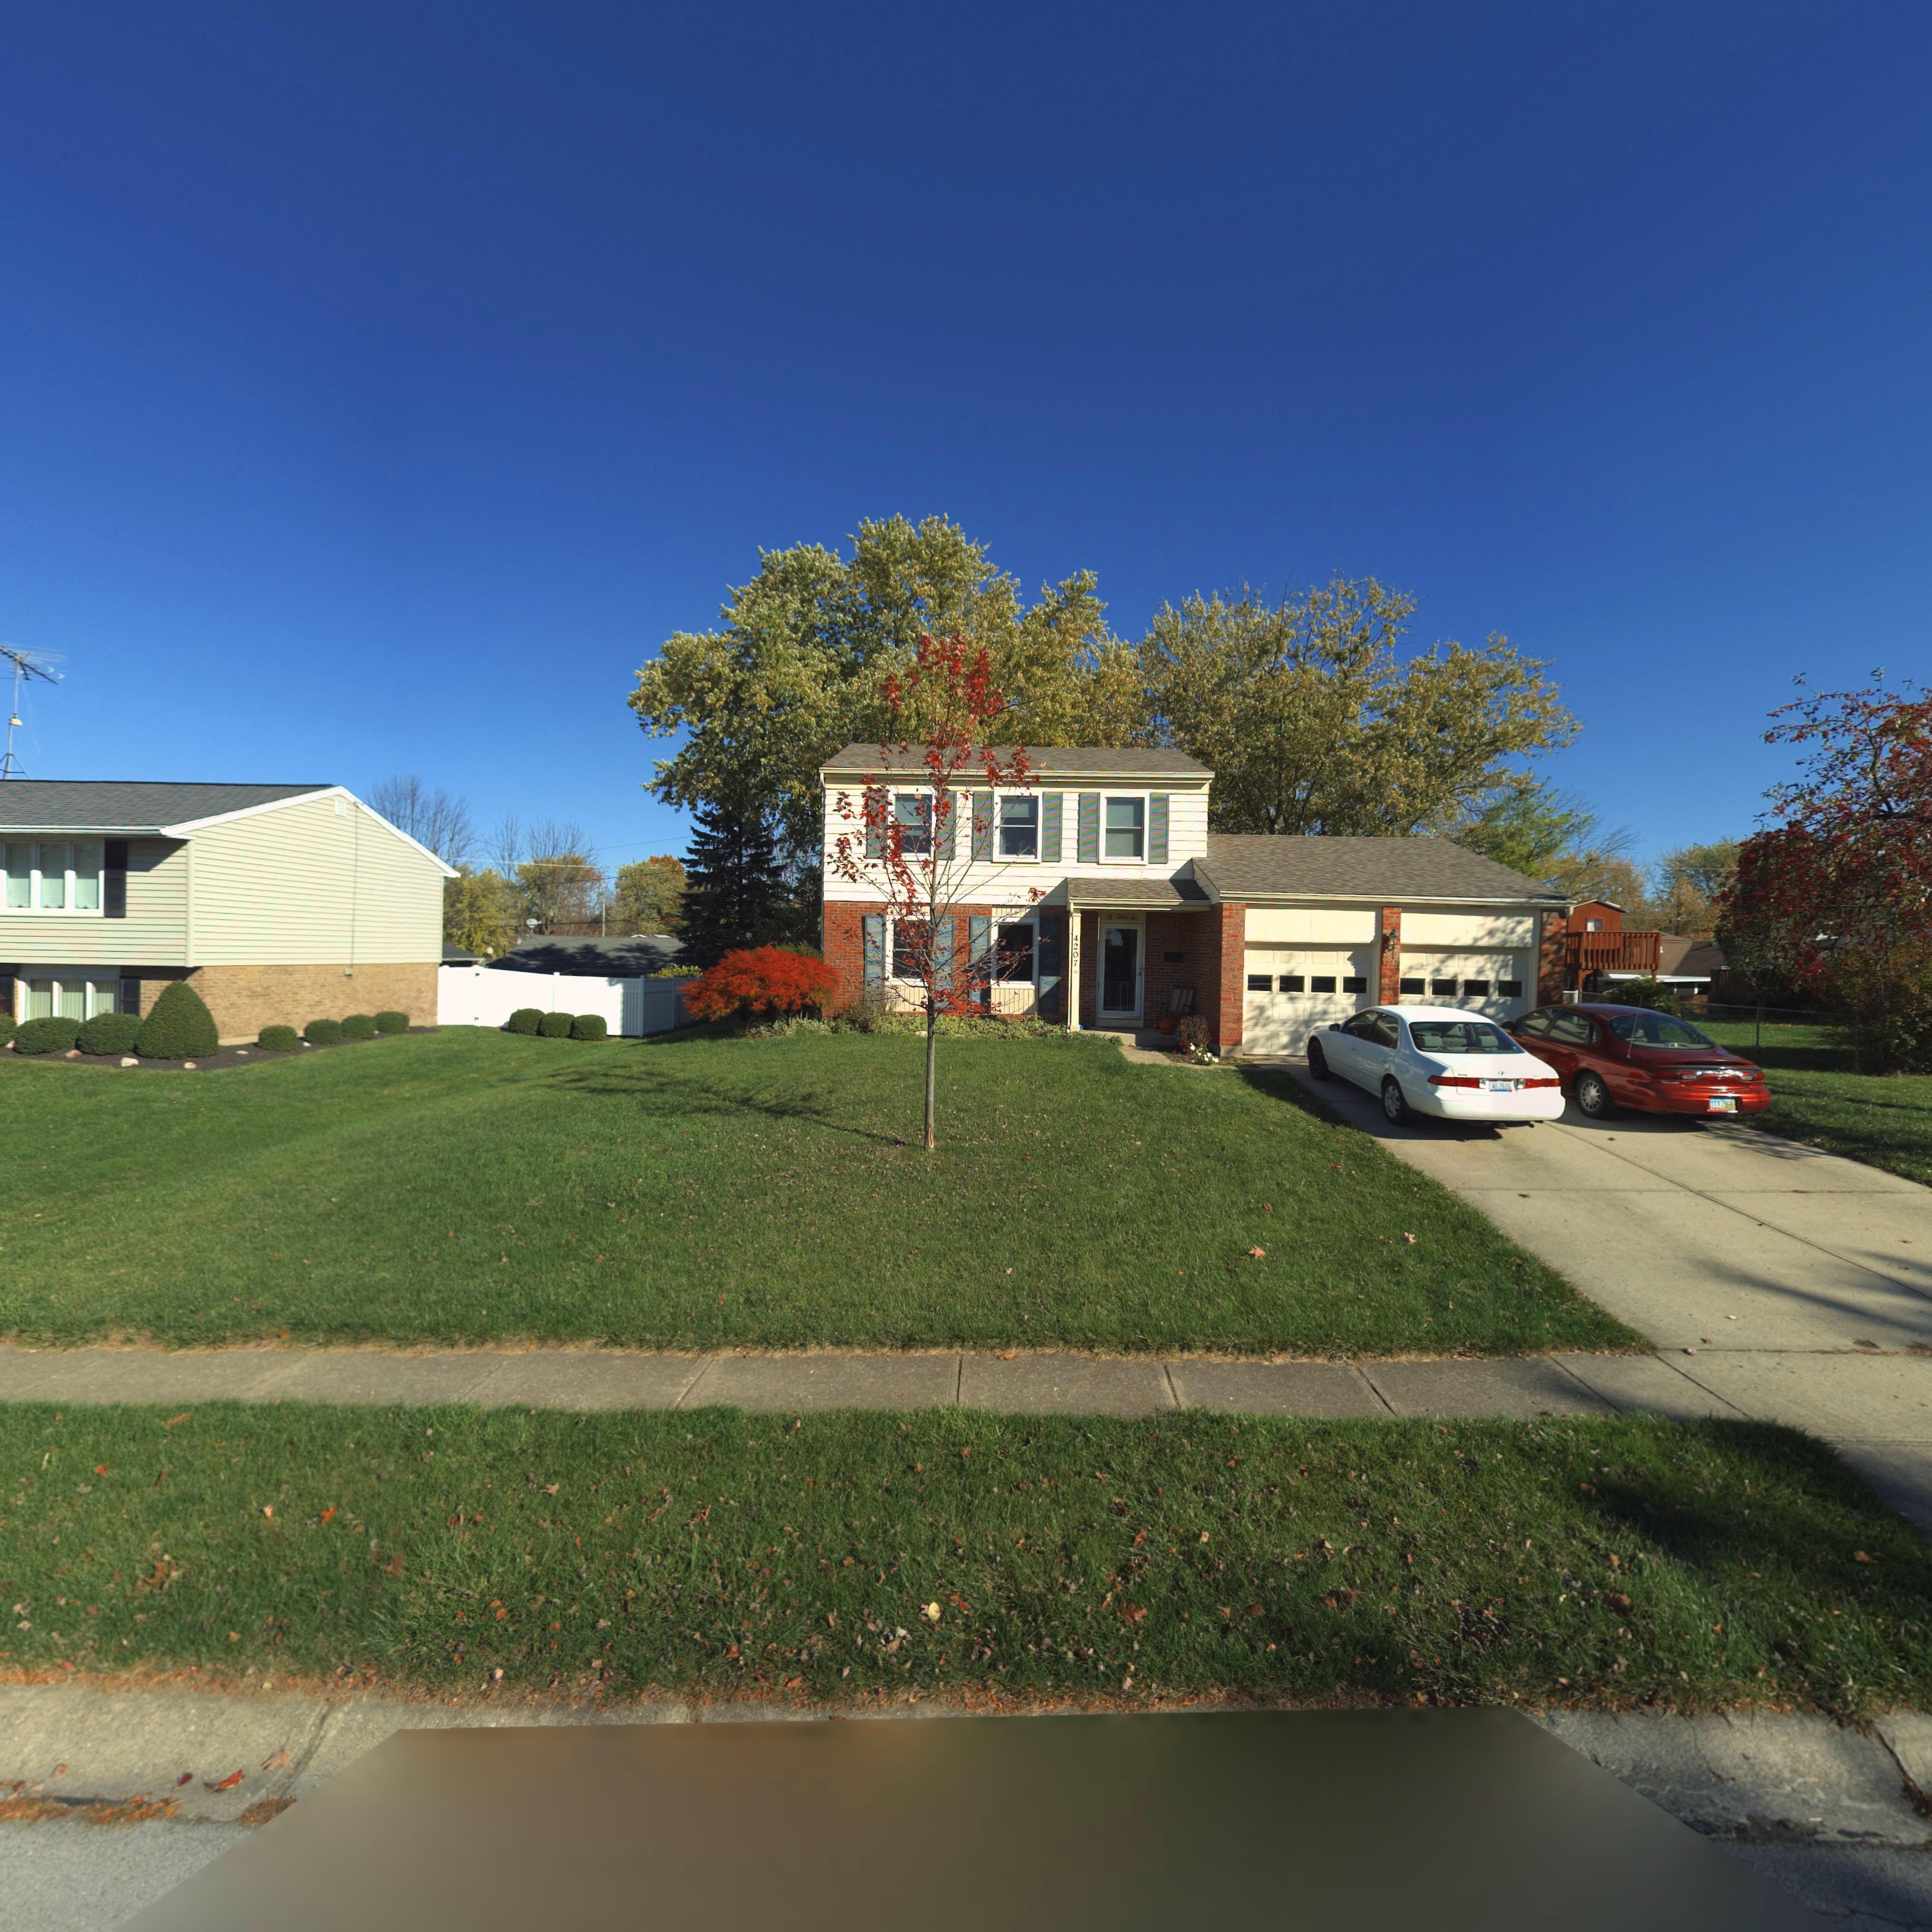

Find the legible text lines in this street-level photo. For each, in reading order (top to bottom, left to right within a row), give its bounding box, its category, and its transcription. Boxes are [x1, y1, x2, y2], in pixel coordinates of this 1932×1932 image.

[1072, 933, 1079, 967] StreetNumber: 4207